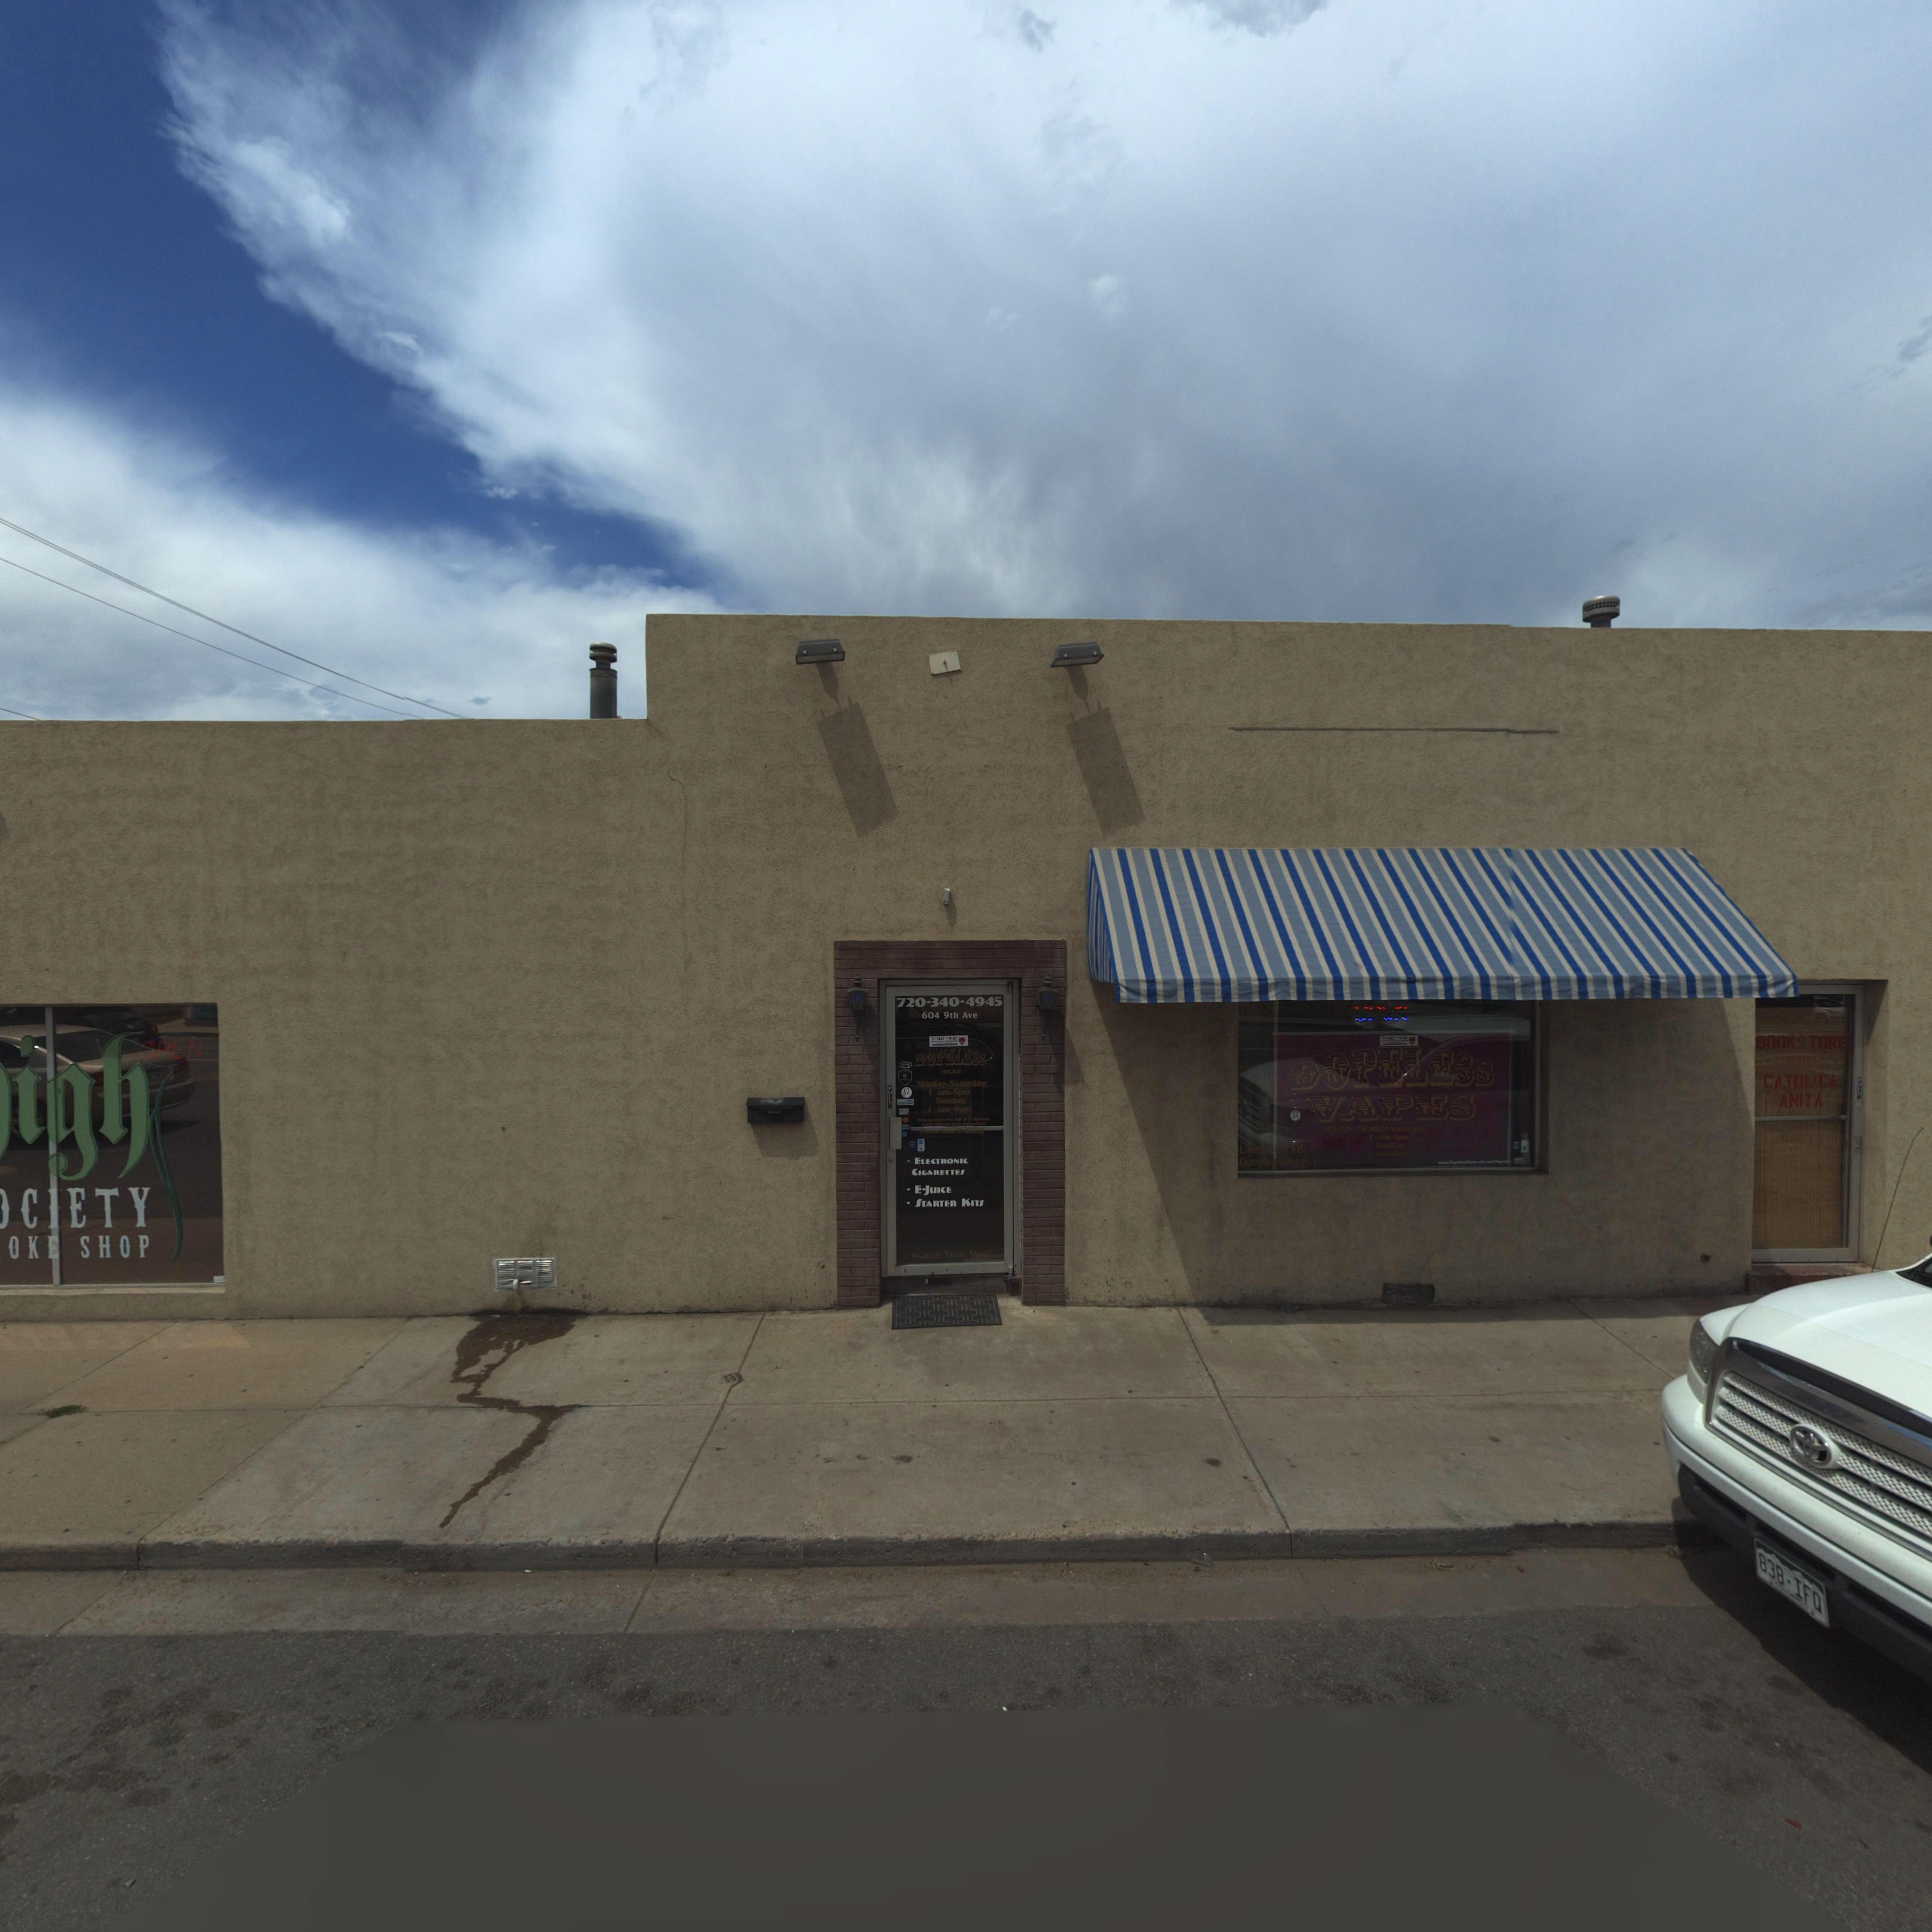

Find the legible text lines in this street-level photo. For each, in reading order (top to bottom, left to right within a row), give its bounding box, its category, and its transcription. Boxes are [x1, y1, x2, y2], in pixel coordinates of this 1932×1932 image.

[922, 1011, 939, 1019] StreetNumber: 604
[943, 1011, 977, 1018] StreetName: 9th Ave
[915, 1047, 986, 1065] BusinessName: DOPELESS
[1290, 1046, 1493, 1089] BusinessName: DOPELESS
[1763, 1074, 1837, 1088] BusinessName: CATOLICA
[12, 1032, 148, 1181] BusinessName: igh
[1306, 1093, 1474, 1121] BusinessName: VAPES
[1780, 1092, 1823, 1107] BusinessName: ANITA
[20, 1187, 151, 1227] BusinessName: CIETY
[9, 1234, 149, 1259] BusinessName: OKE SHOP